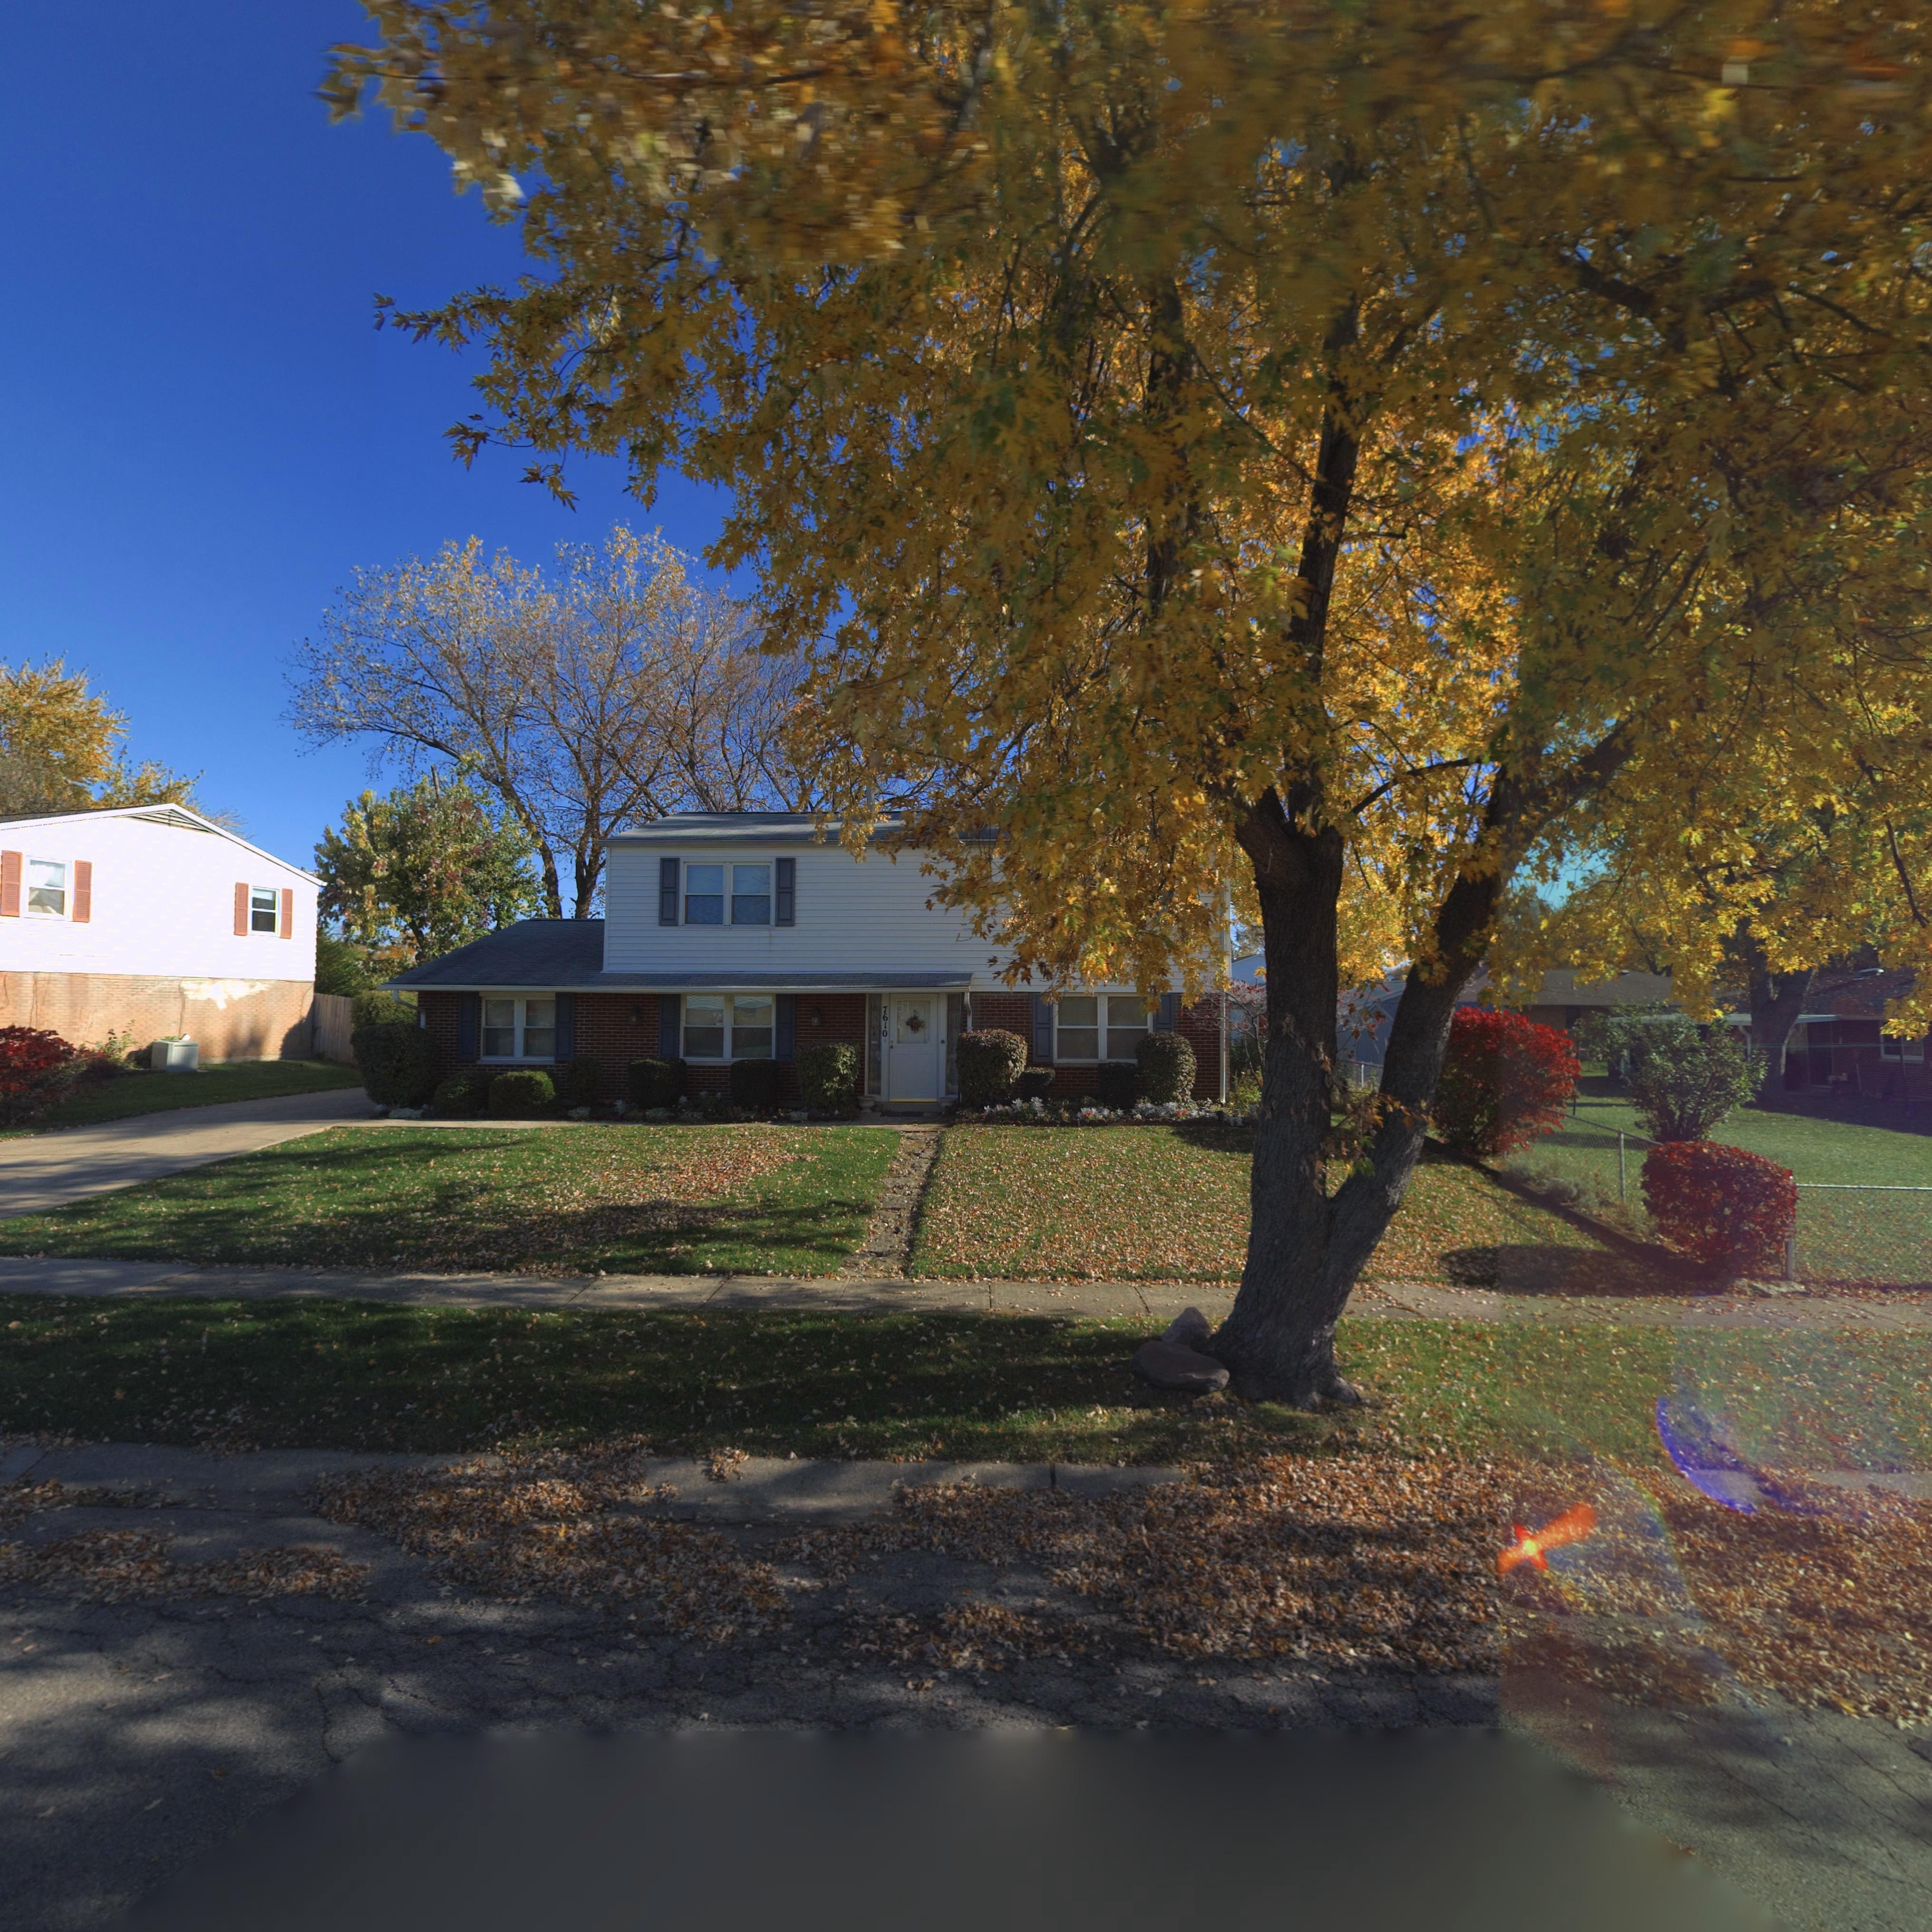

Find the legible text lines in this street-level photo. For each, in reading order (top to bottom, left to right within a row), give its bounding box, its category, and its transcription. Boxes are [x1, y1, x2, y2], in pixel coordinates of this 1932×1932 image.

[882, 1005, 888, 1037] StreetNumber: 7610